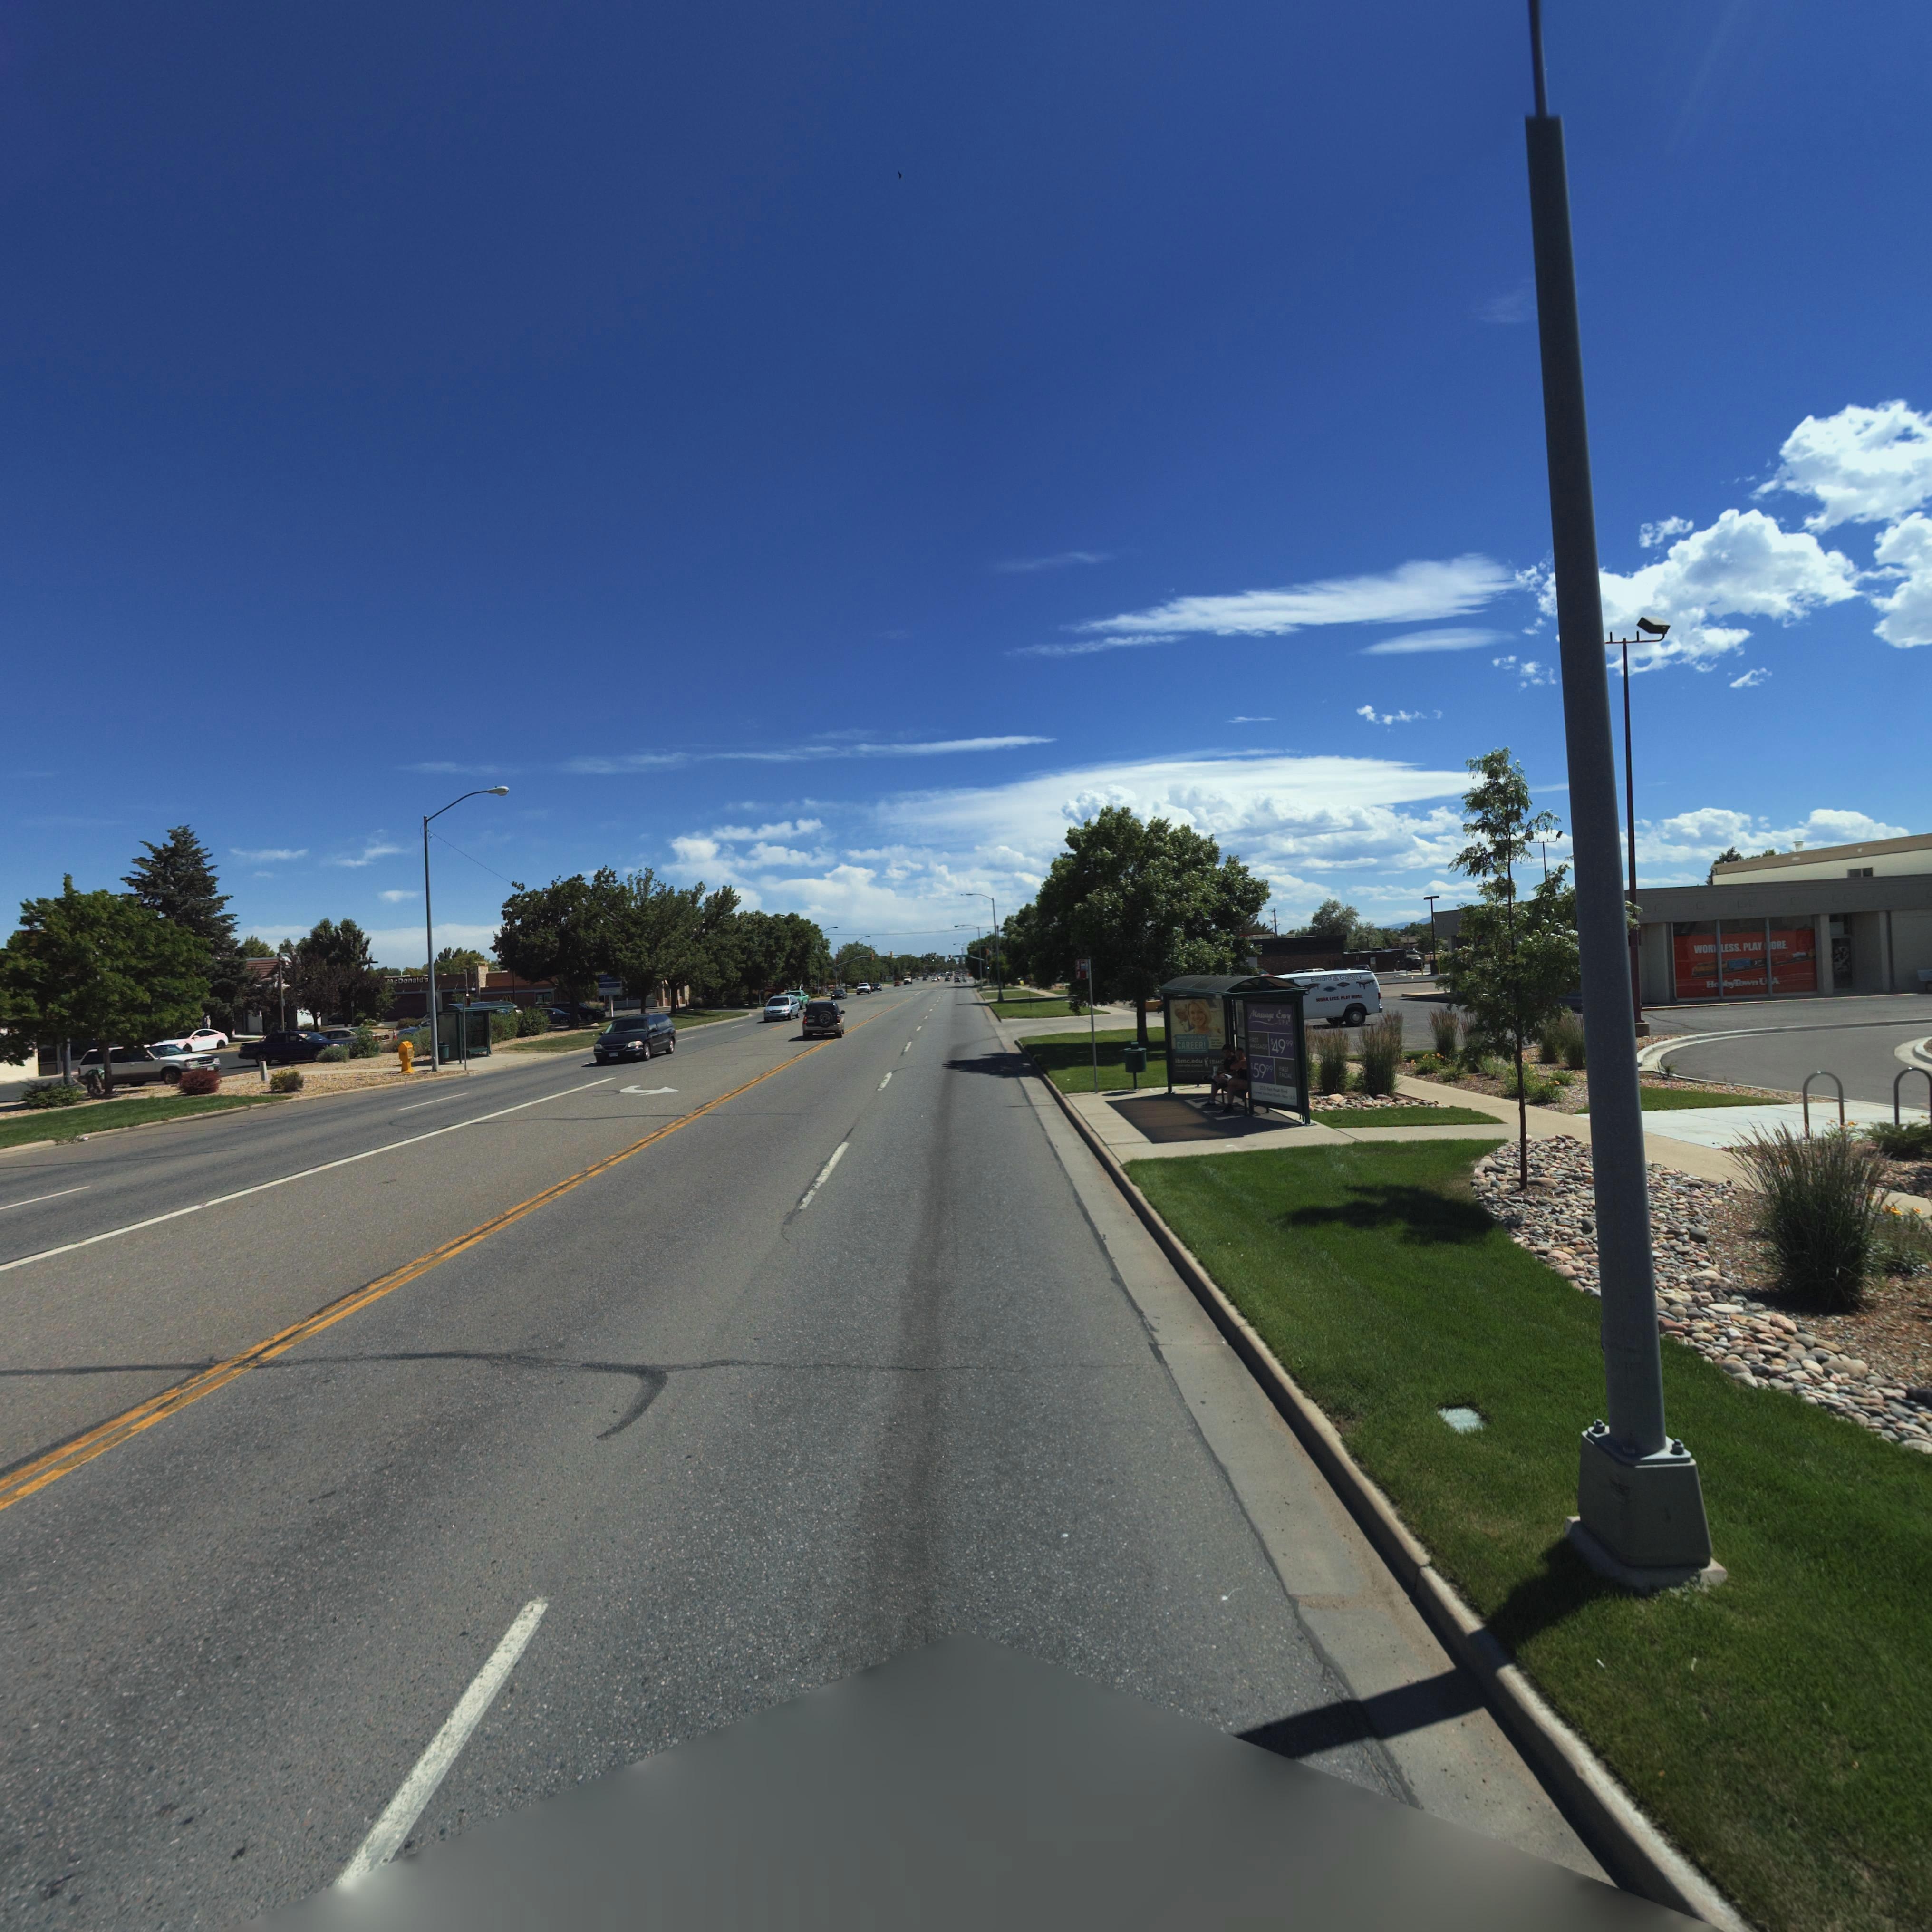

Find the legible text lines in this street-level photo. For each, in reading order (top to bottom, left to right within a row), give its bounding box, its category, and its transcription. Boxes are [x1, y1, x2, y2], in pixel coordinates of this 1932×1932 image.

[386, 976, 429, 984] BusinessName: *cDonald's
[1705, 976, 1780, 989] BusinessName: H**byTown U*A